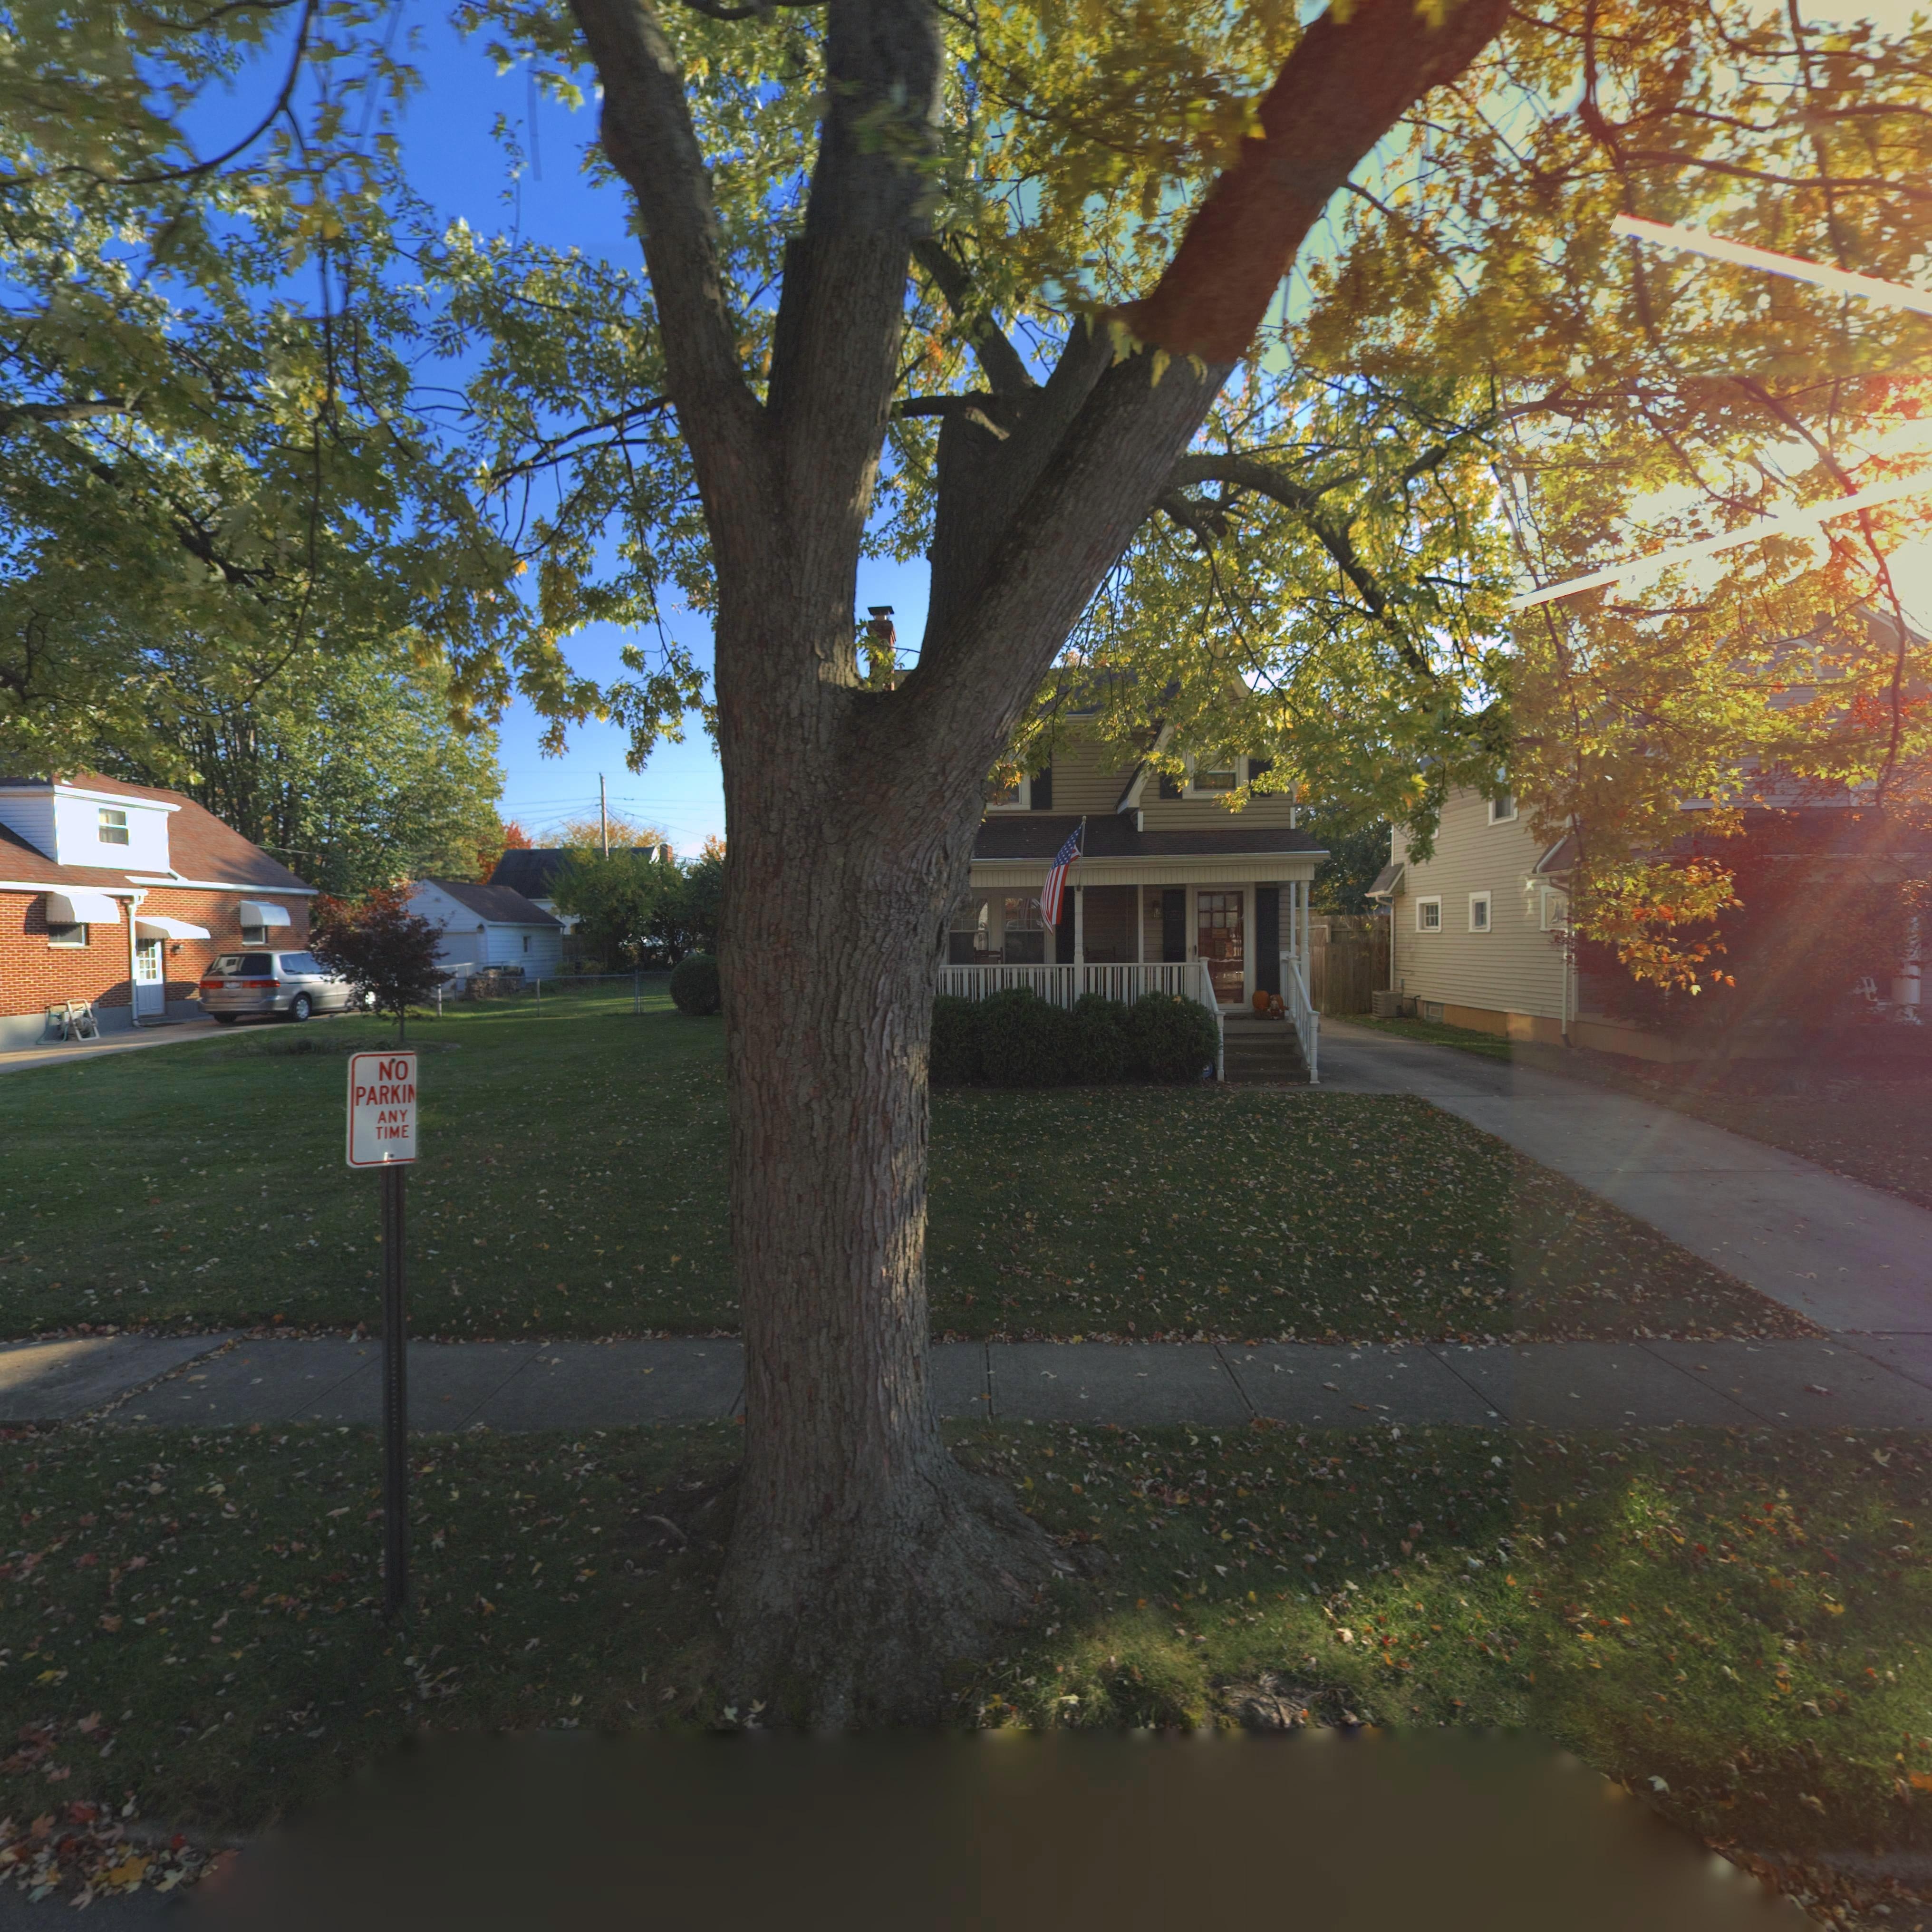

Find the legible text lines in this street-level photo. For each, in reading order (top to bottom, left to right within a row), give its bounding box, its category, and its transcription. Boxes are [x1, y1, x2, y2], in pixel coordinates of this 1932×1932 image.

[1168, 912, 1180, 918] StreetNumber: *04